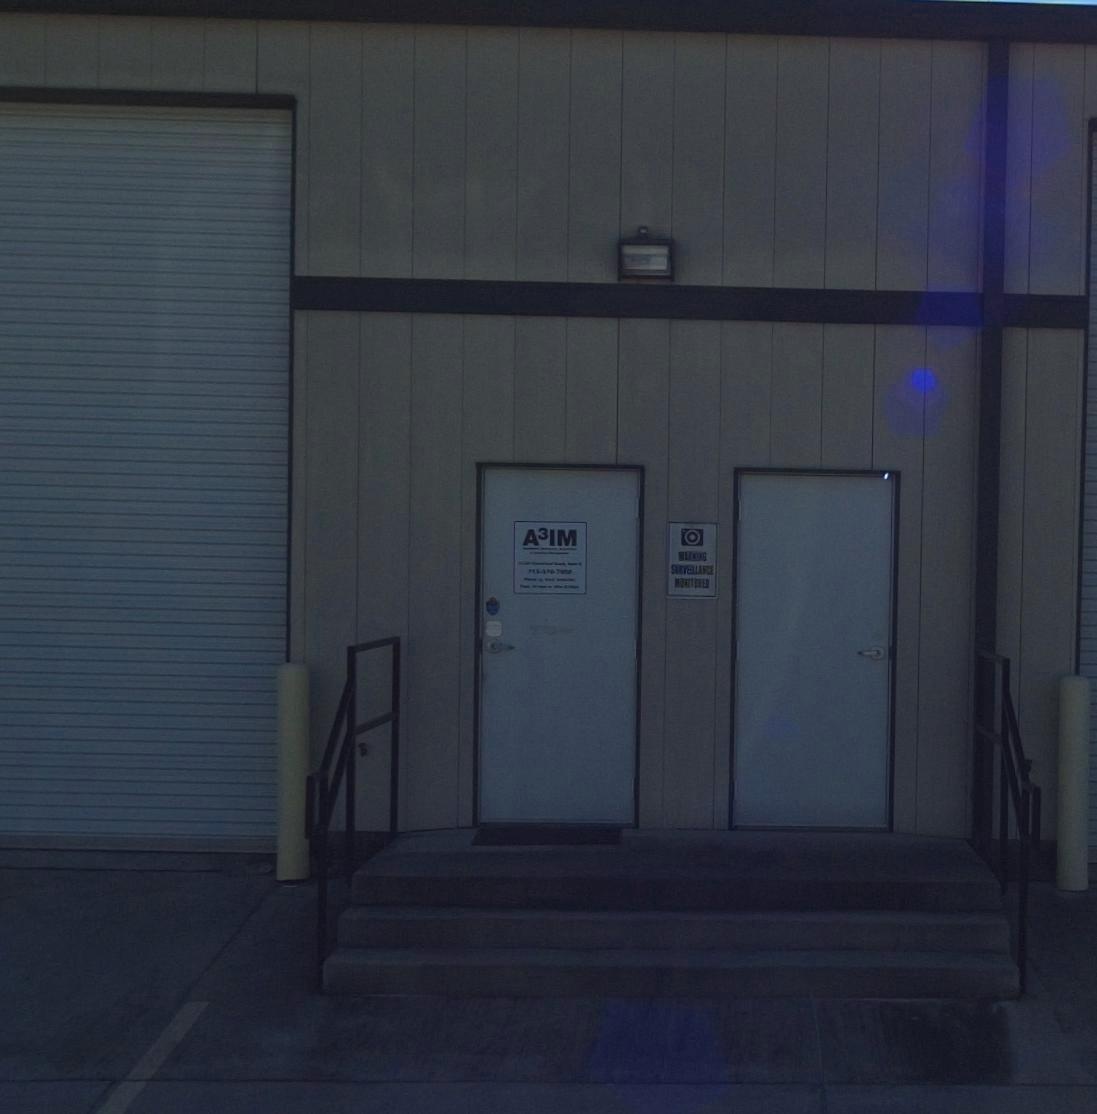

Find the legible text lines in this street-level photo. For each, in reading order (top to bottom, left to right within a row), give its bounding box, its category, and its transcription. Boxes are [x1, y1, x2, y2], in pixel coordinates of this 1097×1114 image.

[518, 525, 579, 549] BusinessName: A3IM